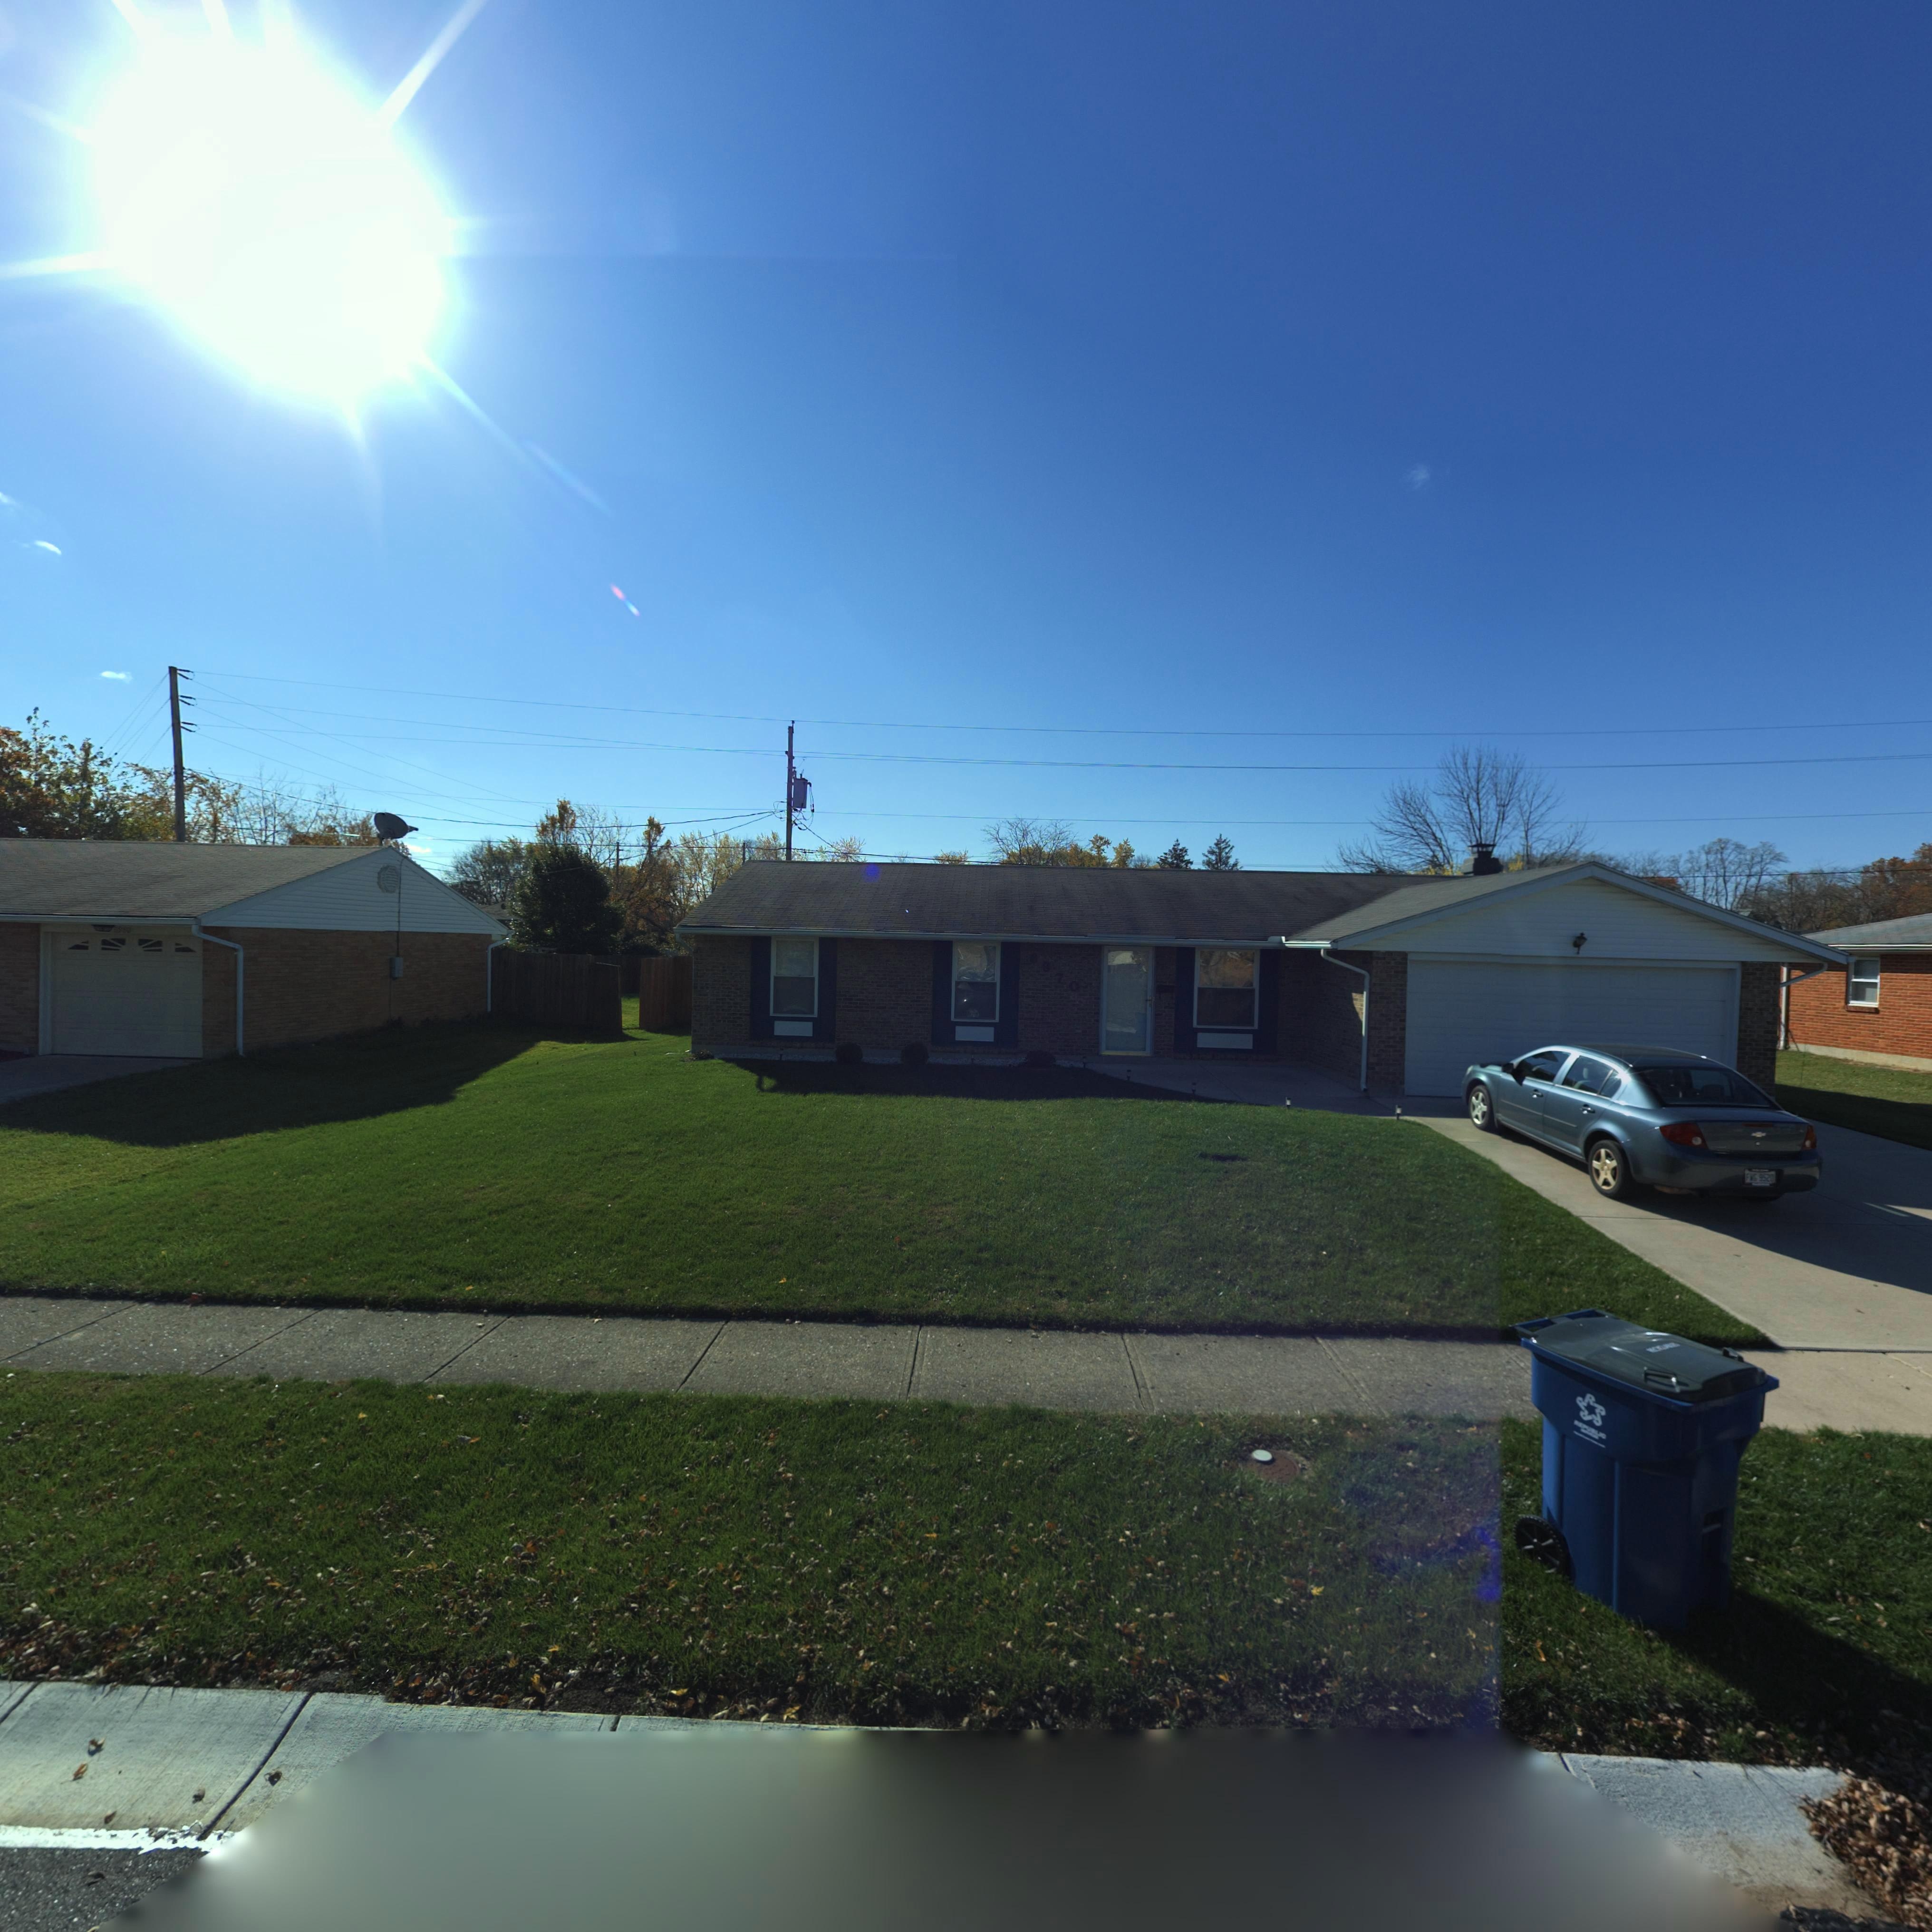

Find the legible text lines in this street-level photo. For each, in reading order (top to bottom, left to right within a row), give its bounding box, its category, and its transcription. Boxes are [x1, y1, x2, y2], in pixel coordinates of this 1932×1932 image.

[113, 925, 132, 933] StreetNumber: 6980
[1028, 951, 1081, 994] StreetNumber: 6970